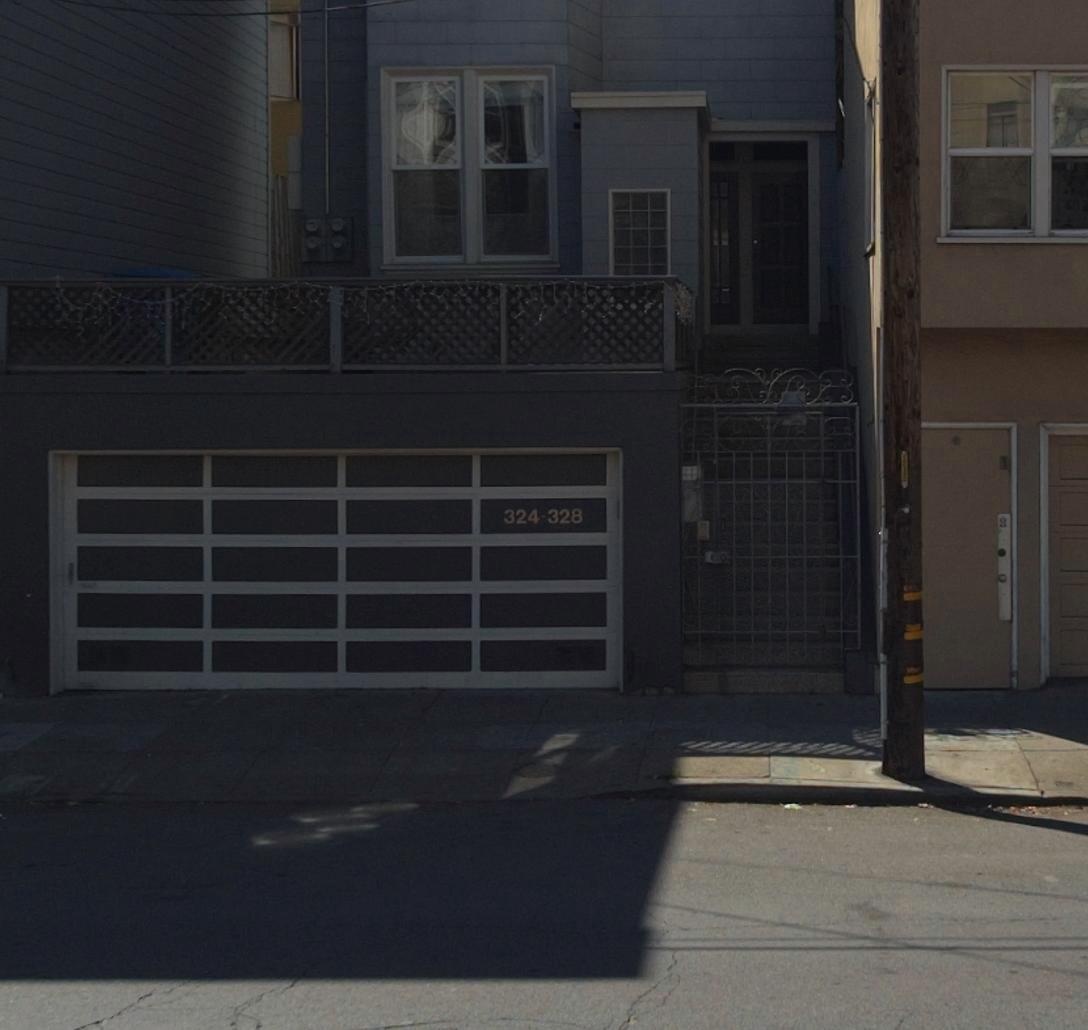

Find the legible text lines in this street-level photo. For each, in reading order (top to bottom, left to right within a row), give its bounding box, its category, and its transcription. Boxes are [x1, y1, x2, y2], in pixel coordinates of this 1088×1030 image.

[503, 507, 540, 526] StreetNumber: 324
[545, 507, 584, 525] StreetNumber: 328